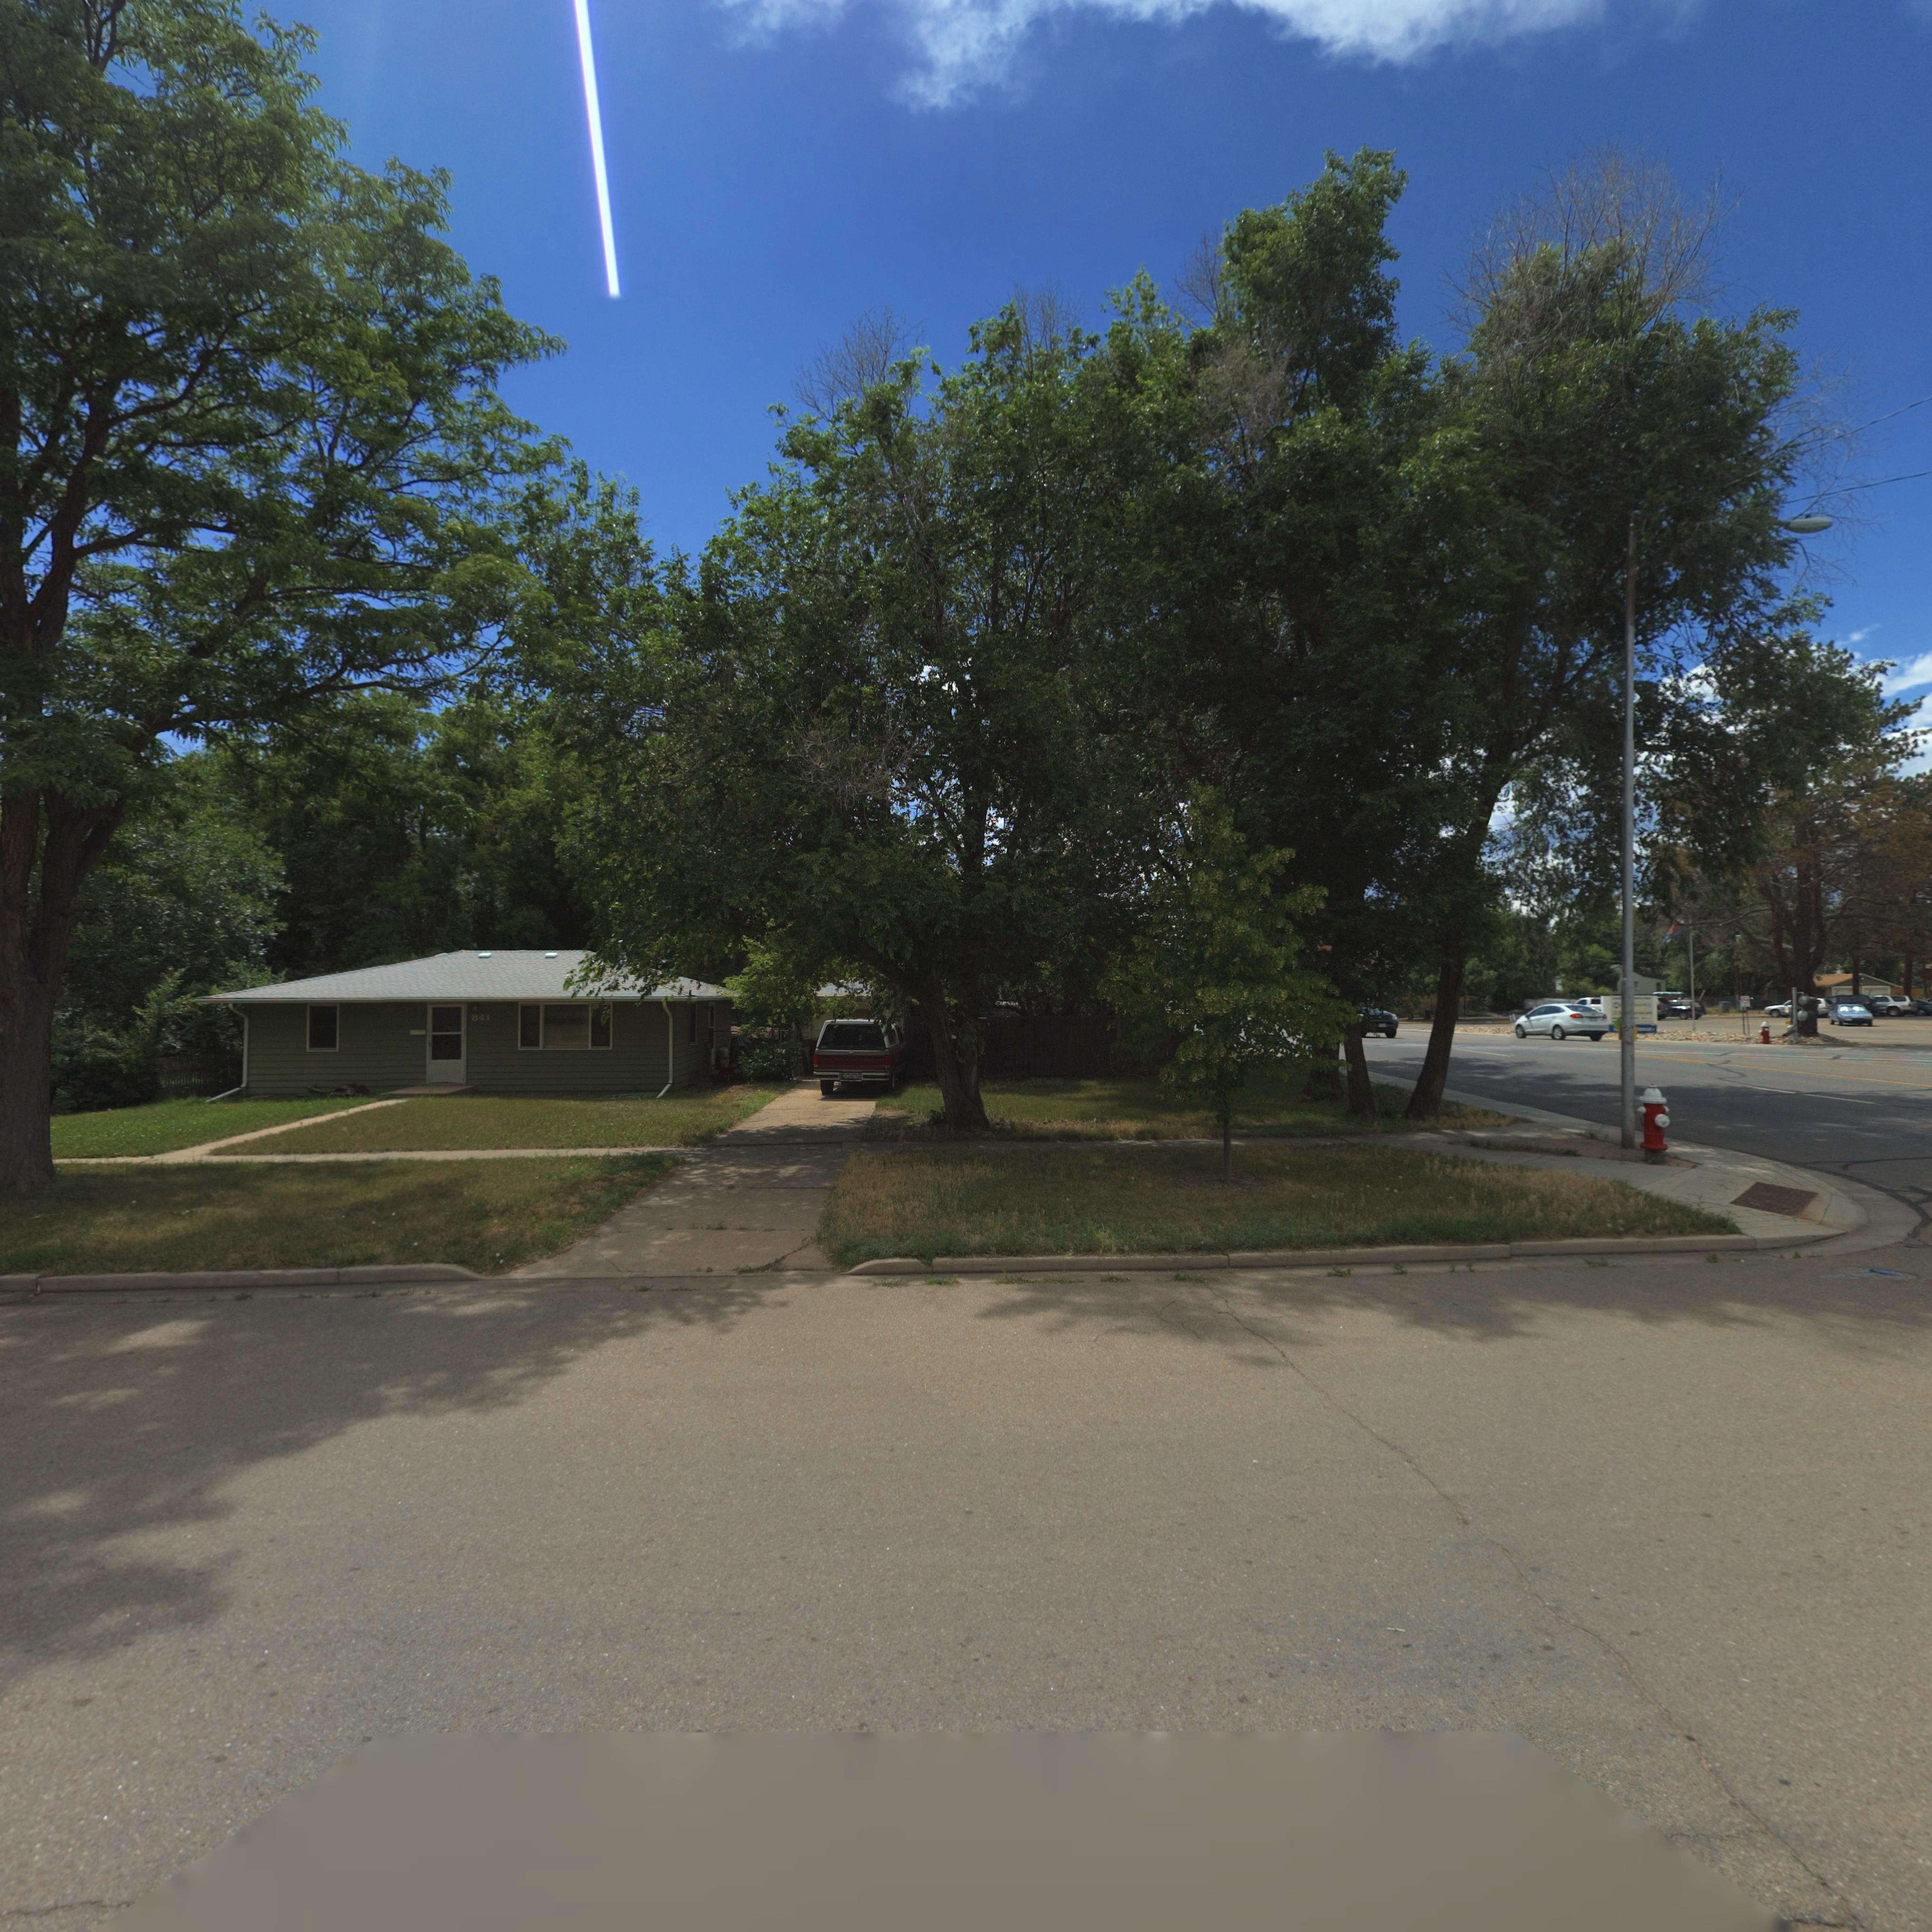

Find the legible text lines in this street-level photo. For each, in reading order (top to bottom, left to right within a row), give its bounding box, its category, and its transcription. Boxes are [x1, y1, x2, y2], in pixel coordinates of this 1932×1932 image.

[471, 1013, 491, 1022] StreetNumber: 841